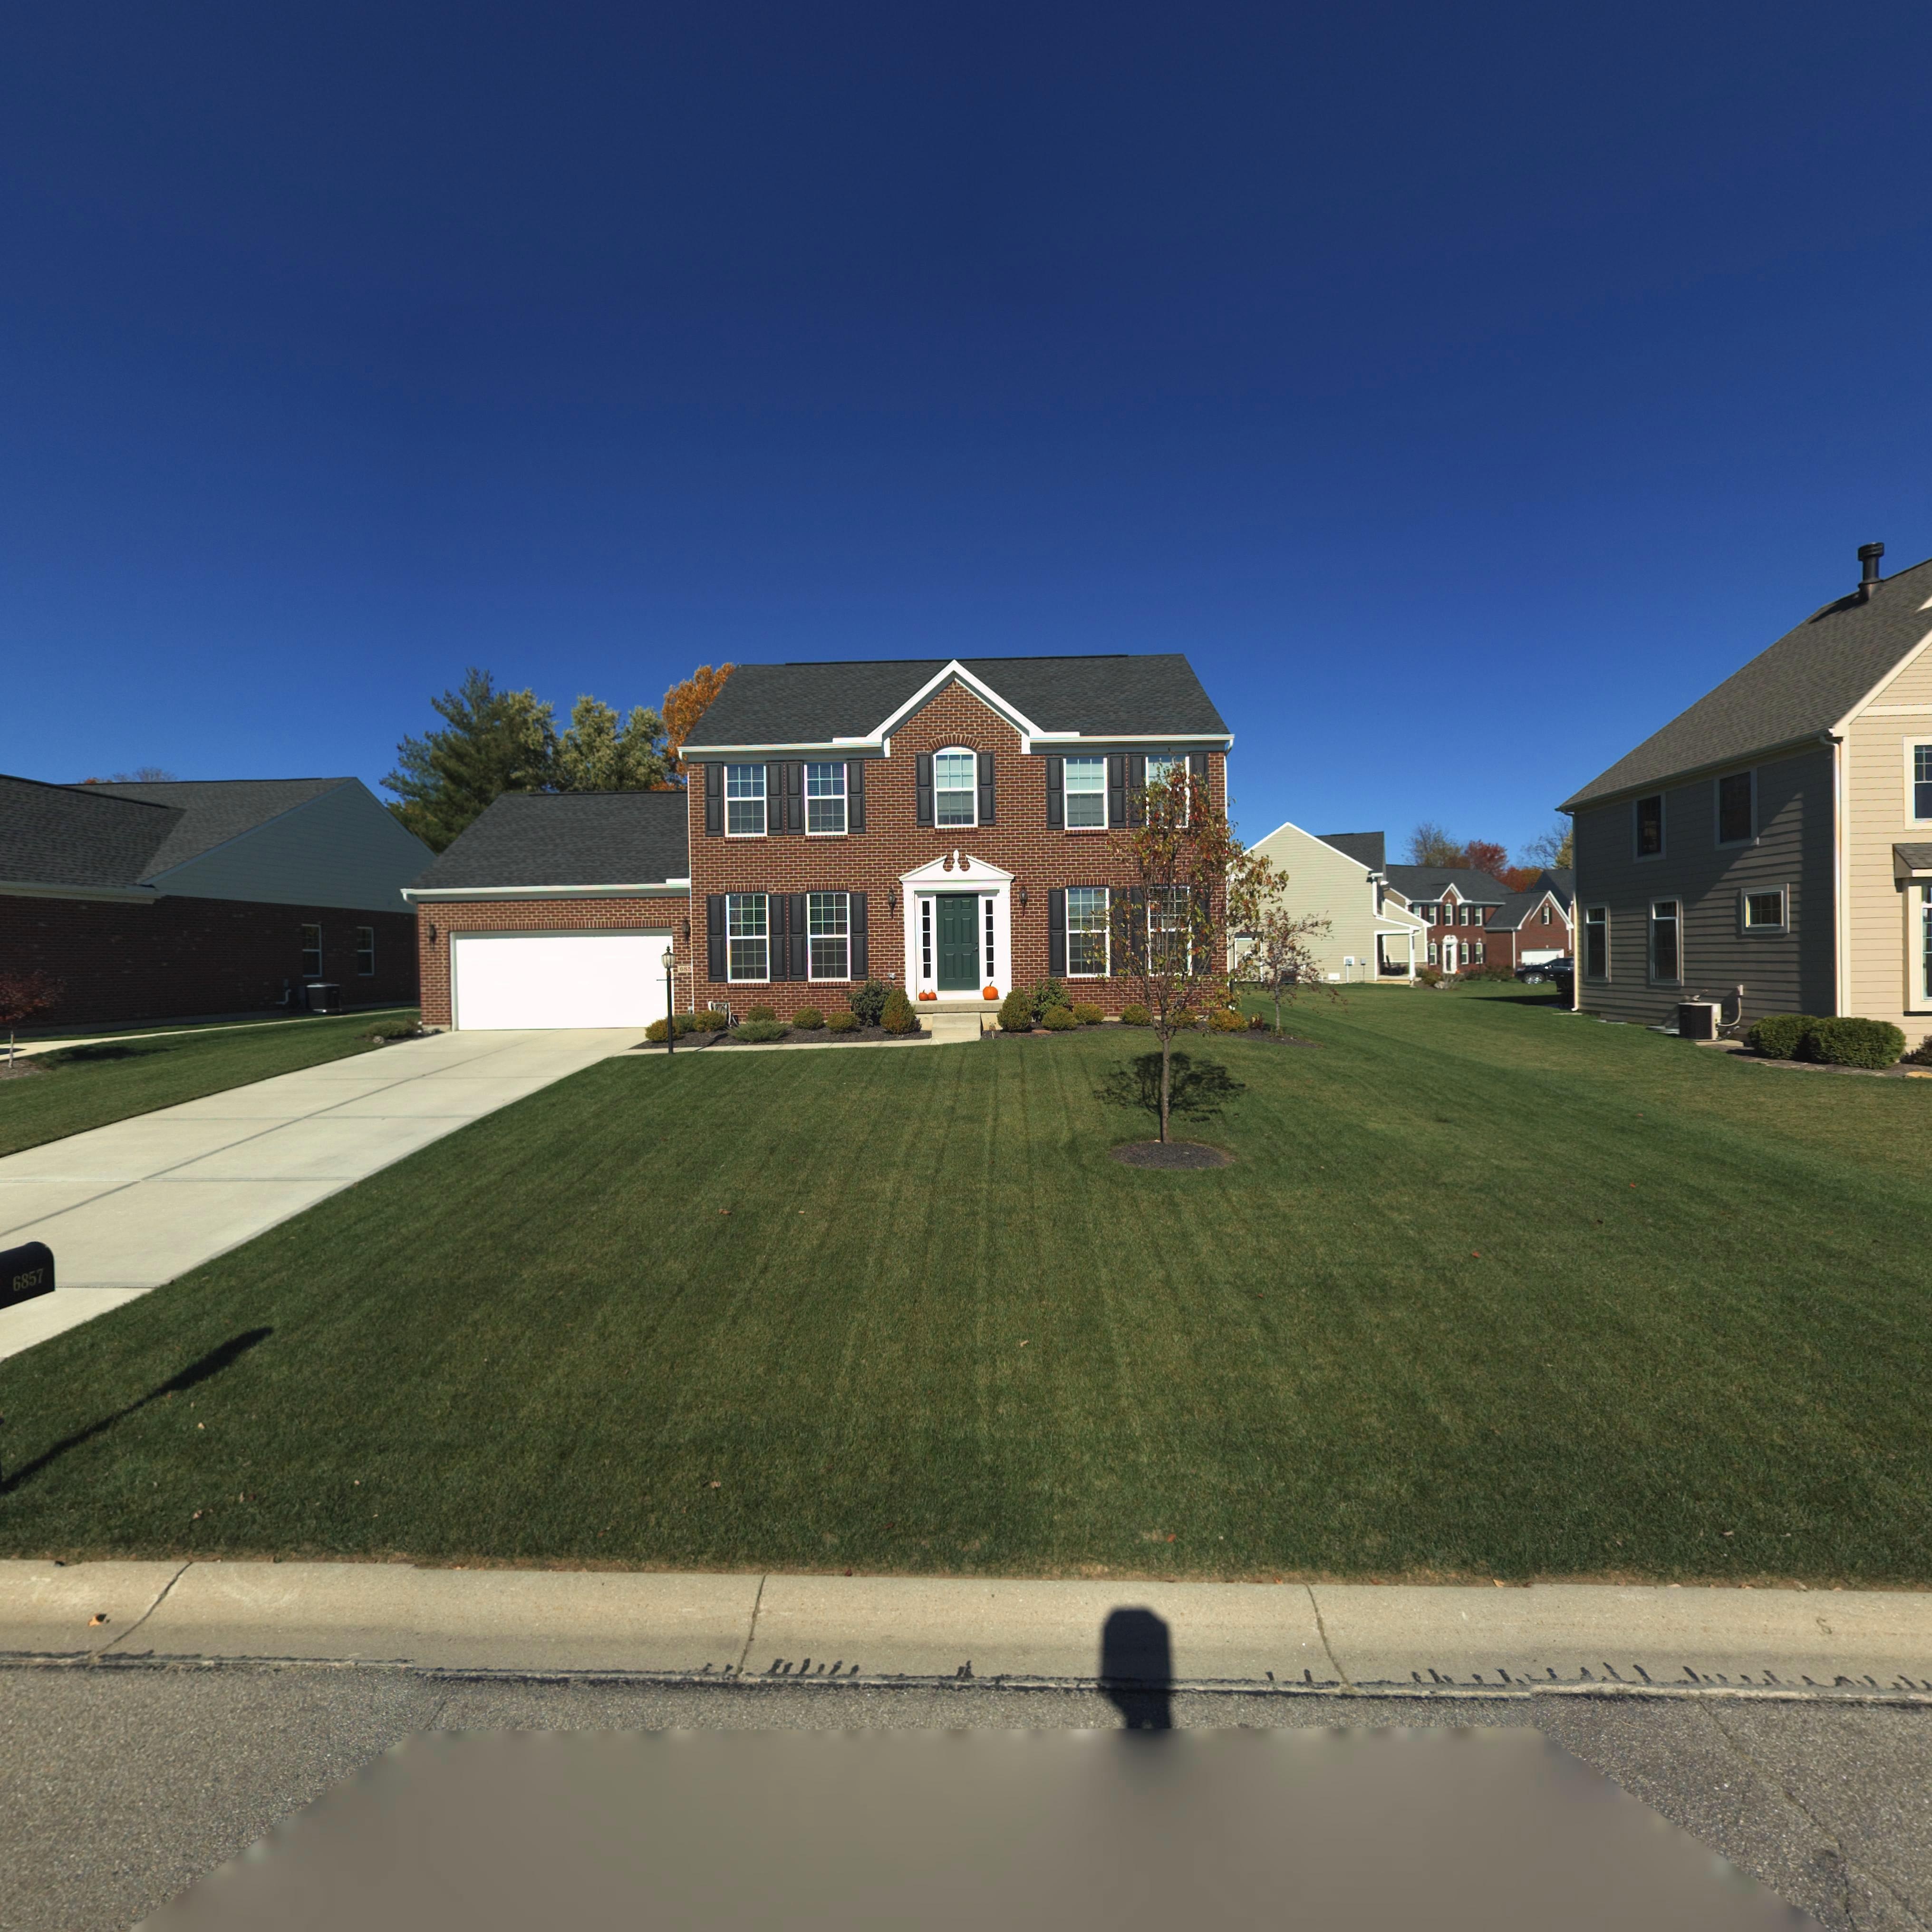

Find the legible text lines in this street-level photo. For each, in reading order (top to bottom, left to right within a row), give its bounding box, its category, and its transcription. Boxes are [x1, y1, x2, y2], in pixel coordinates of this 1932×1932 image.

[679, 966, 692, 972] StreetNumber: 685
[12, 1266, 46, 1294] StreetNumber: 6857